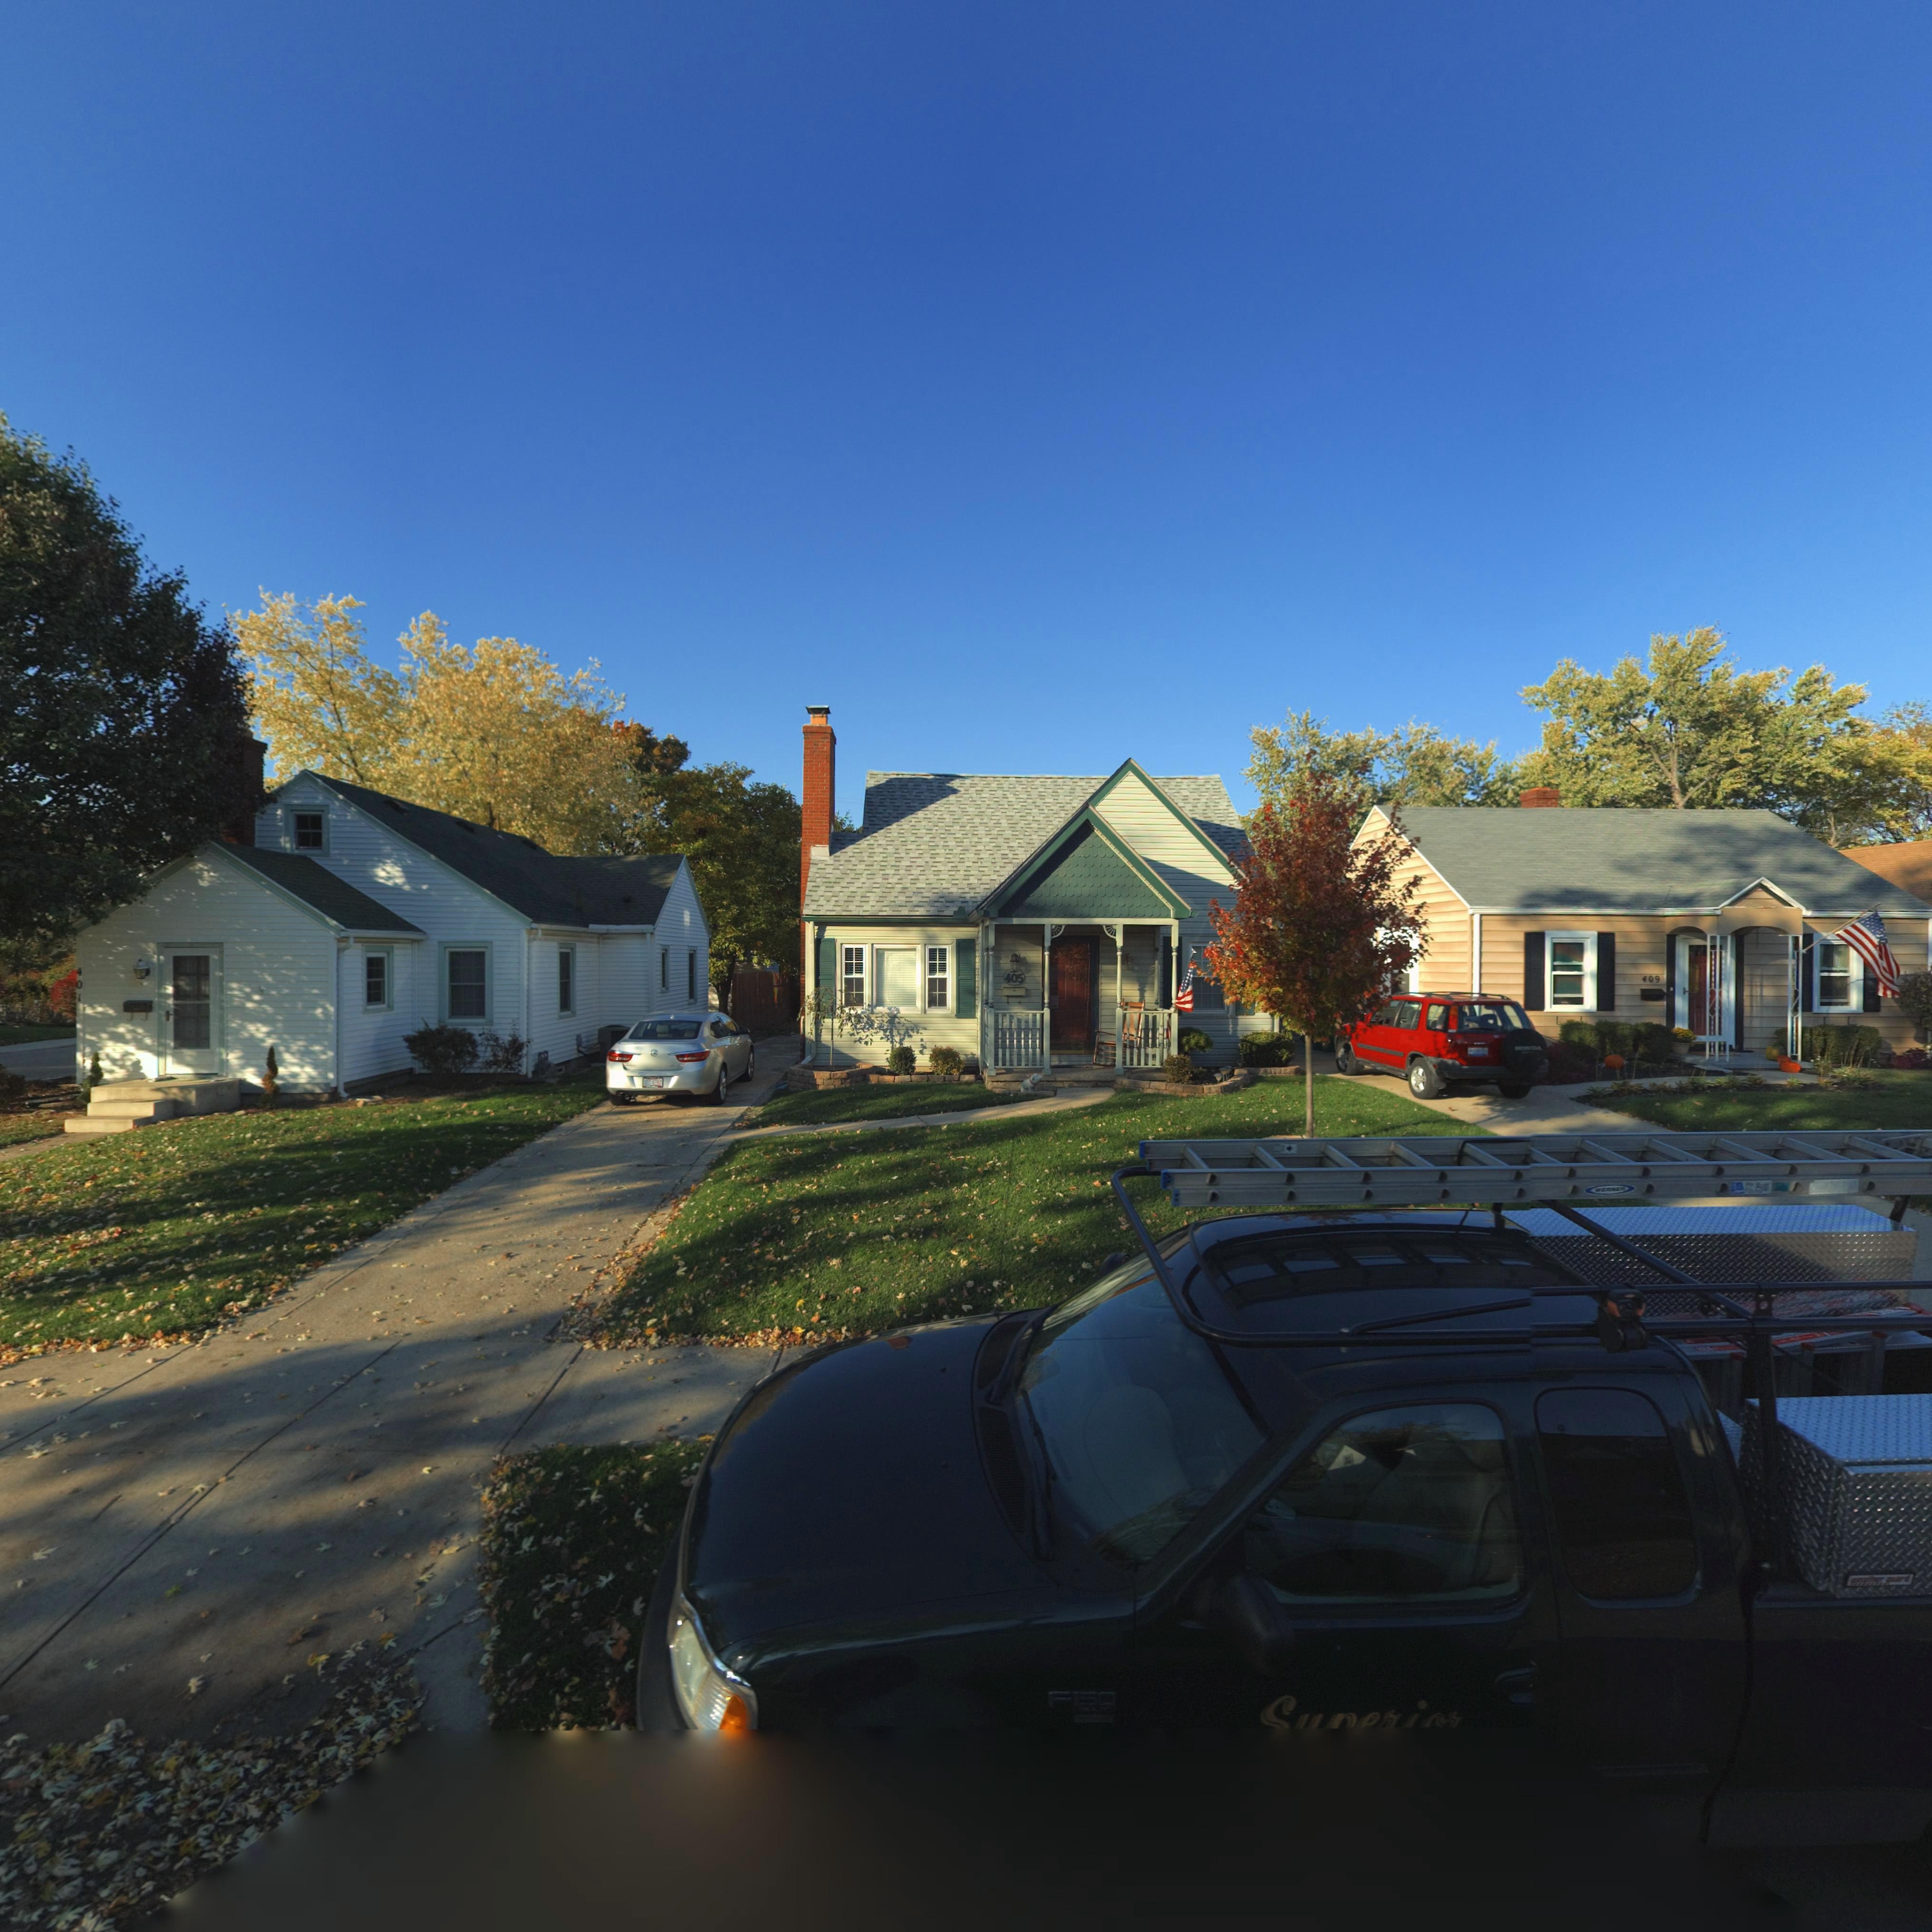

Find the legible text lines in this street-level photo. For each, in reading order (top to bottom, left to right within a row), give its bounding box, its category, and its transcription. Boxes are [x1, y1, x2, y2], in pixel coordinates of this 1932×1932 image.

[75, 966, 83, 1002] StreetNumber: 401
[1005, 973, 1024, 984] StreetNumber: 405
[1641, 975, 1661, 984] StreetNumber: 409